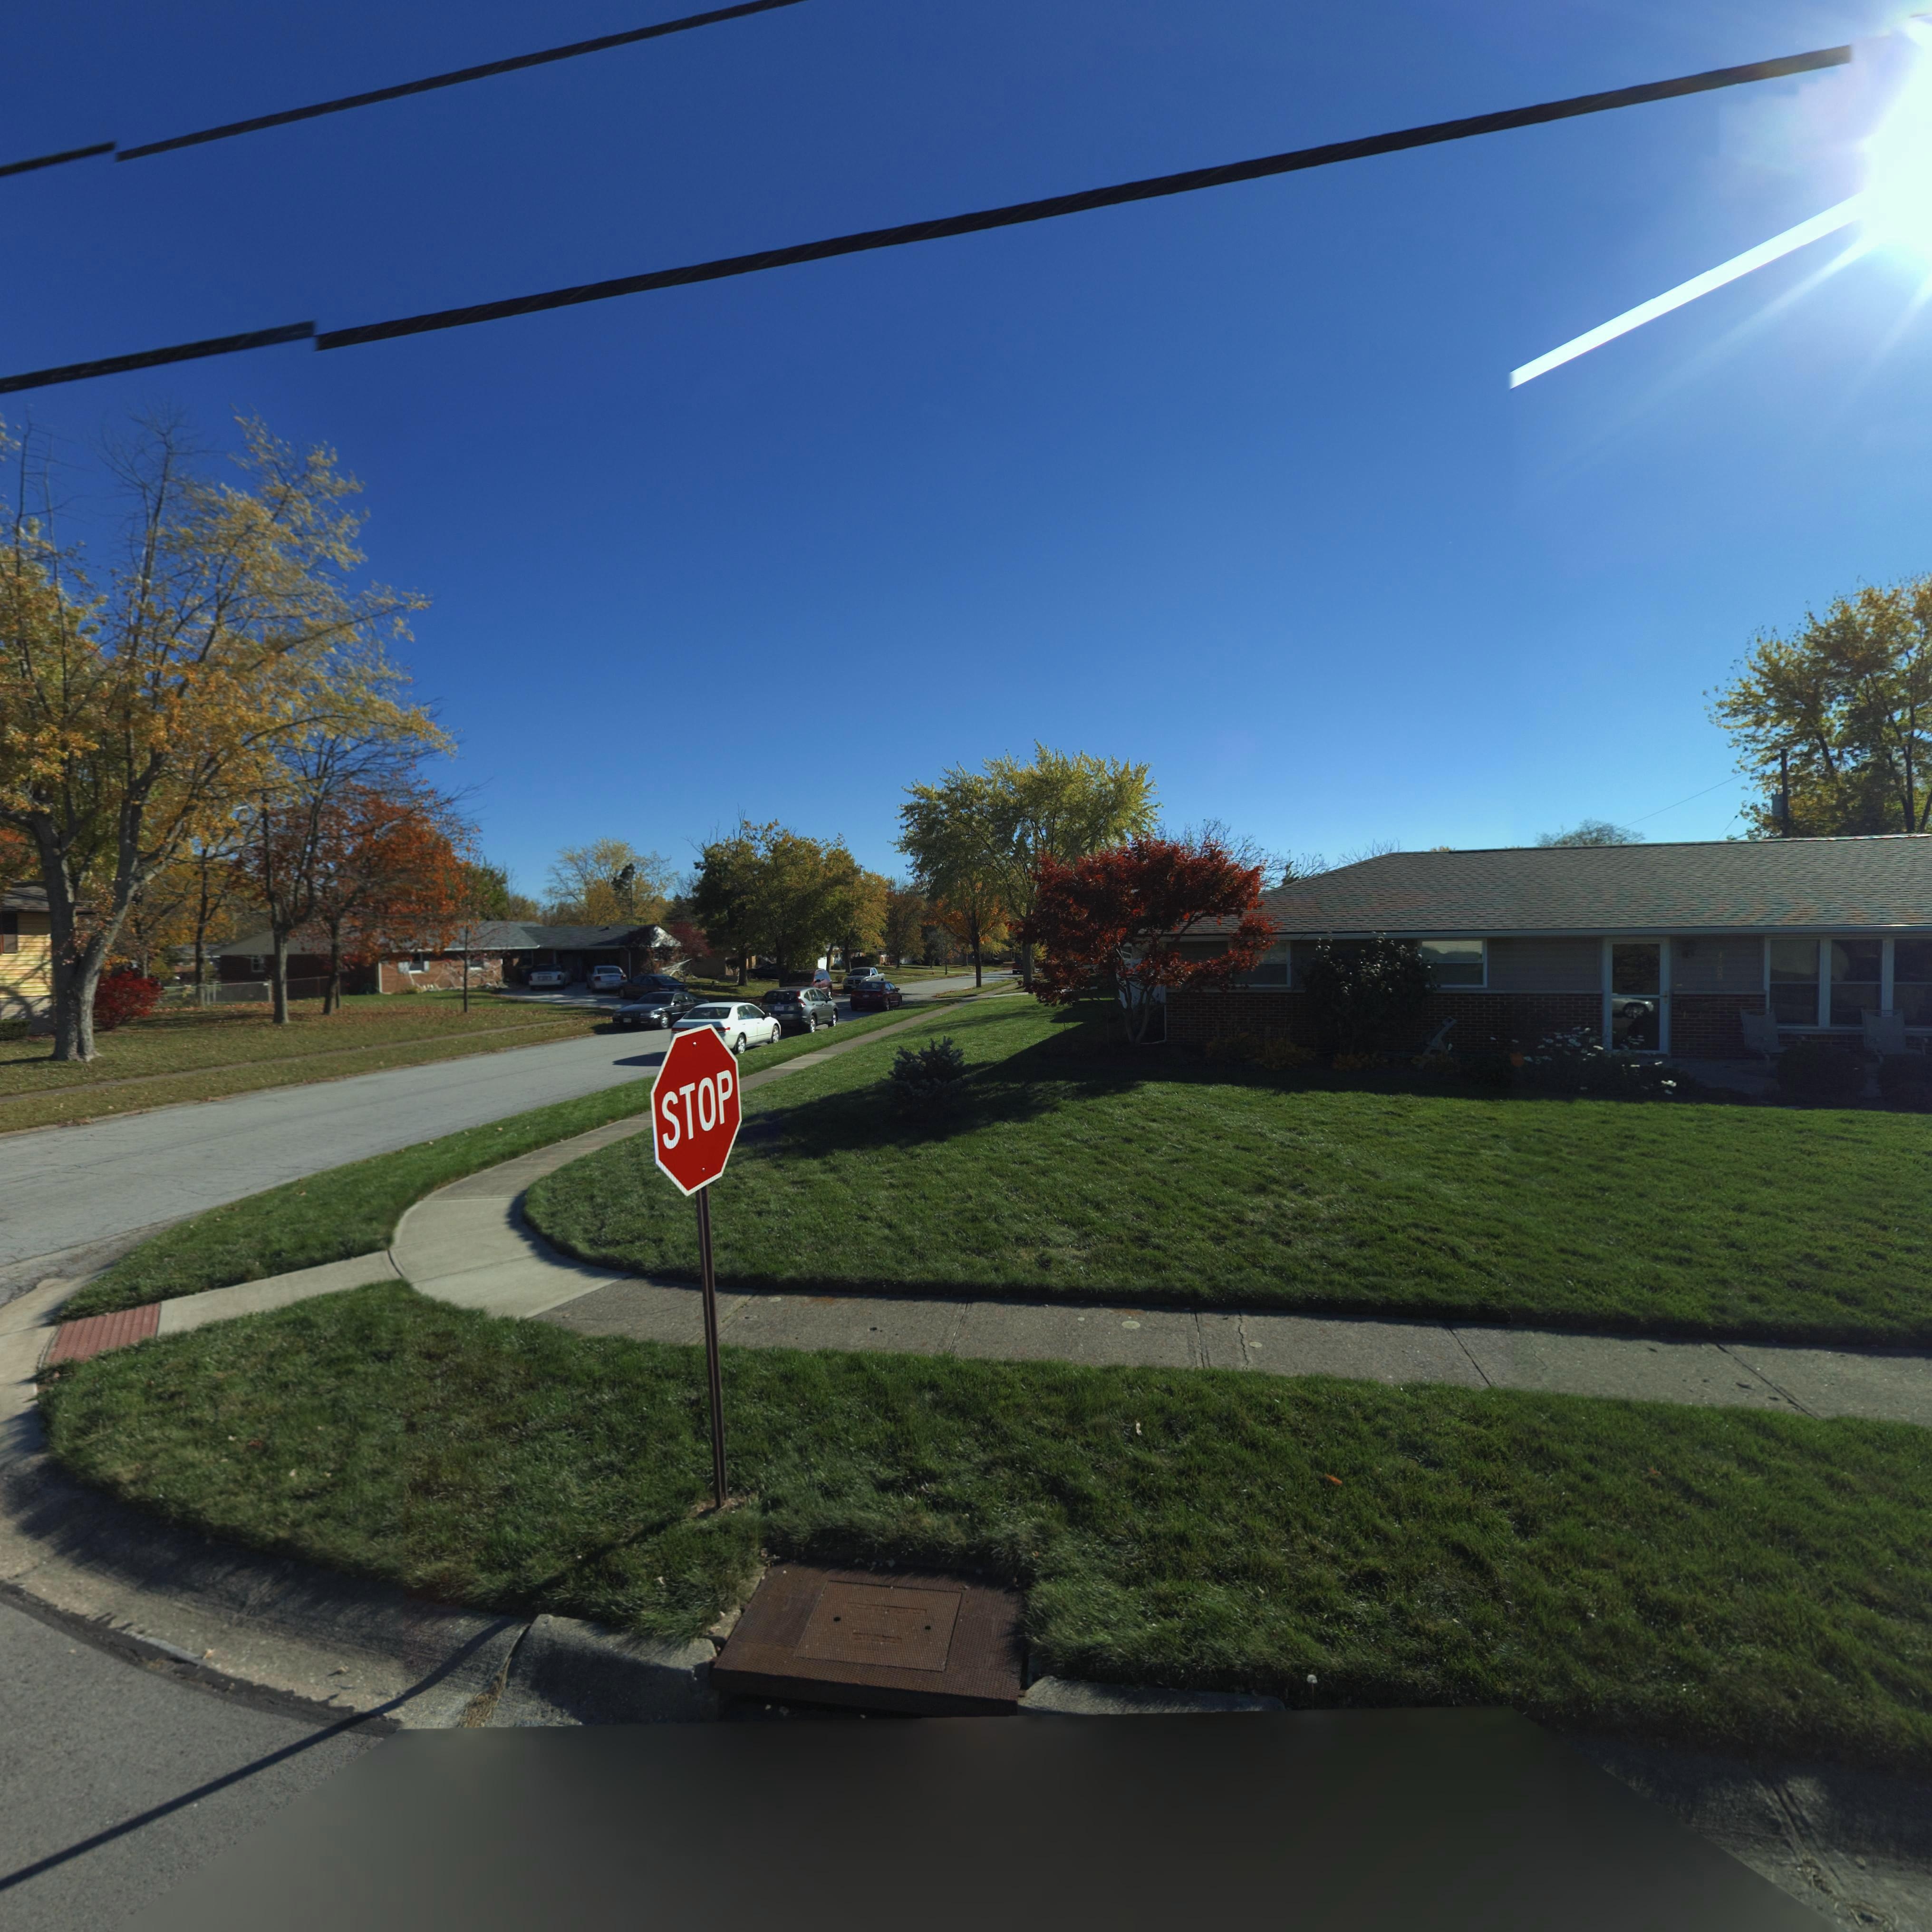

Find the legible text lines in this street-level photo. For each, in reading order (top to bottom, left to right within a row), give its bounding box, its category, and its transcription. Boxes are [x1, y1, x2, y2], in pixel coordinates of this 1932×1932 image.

[1716, 951, 1723, 981] StreetNumber: 4400